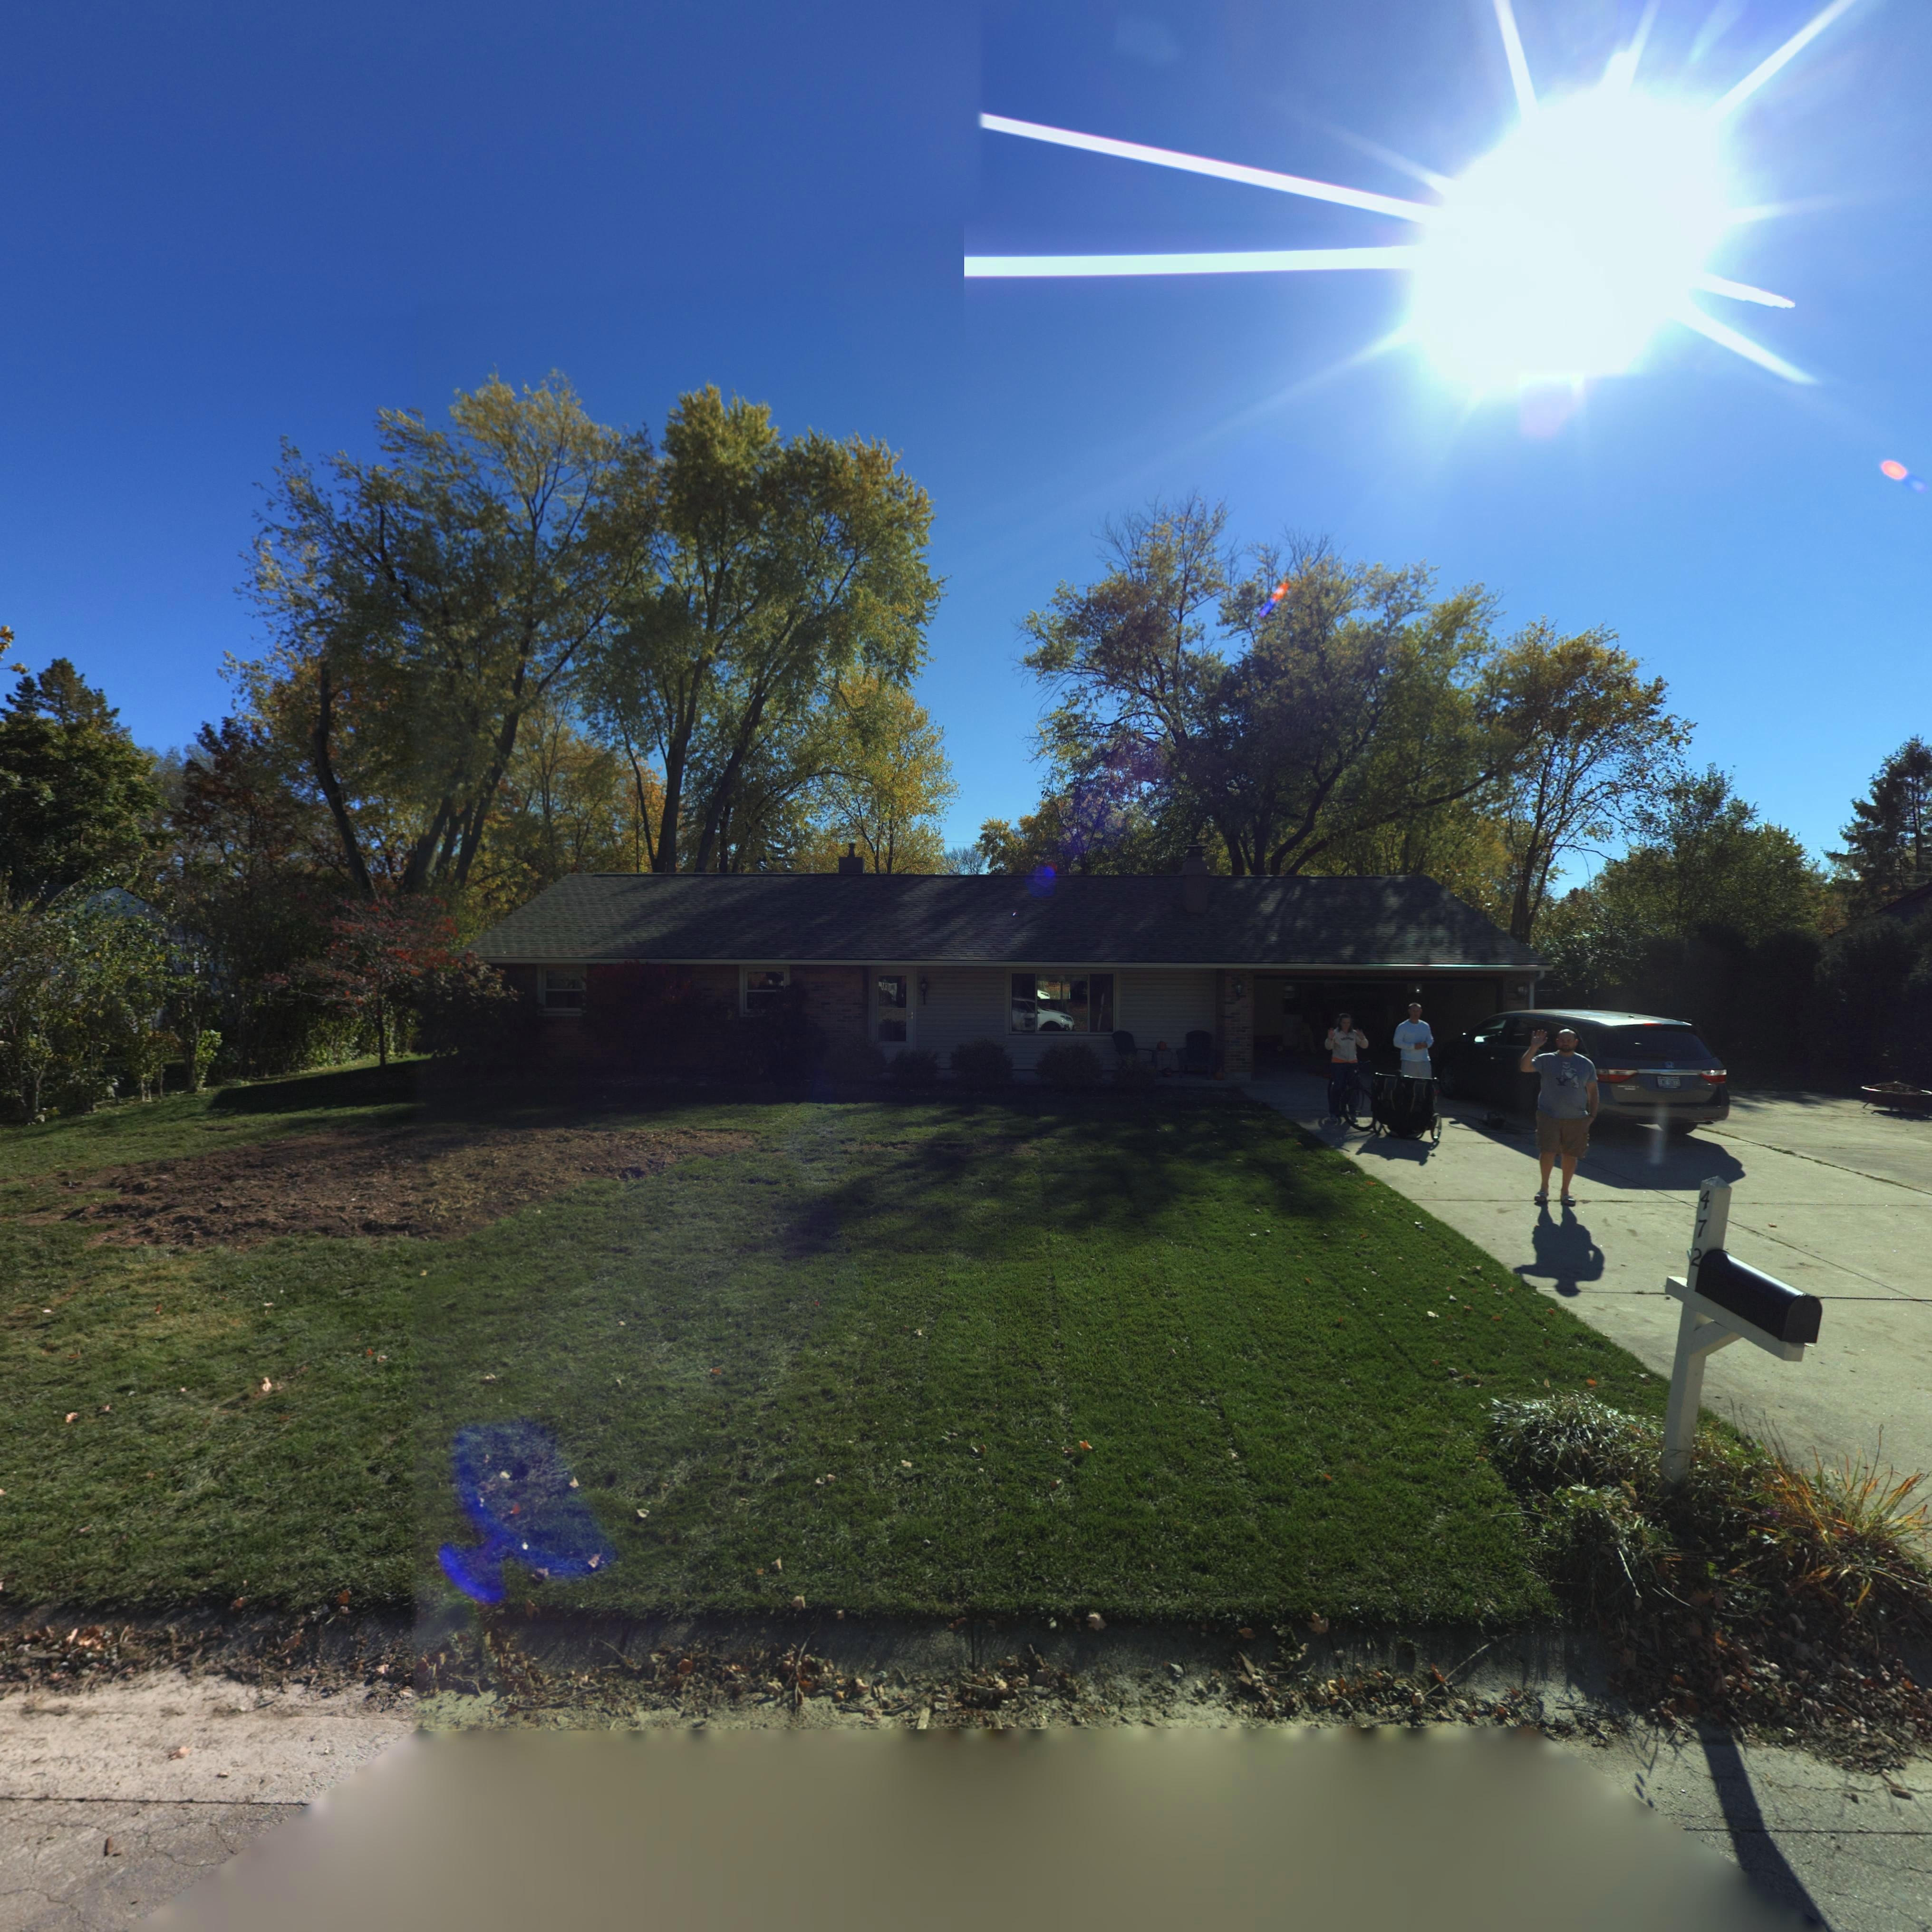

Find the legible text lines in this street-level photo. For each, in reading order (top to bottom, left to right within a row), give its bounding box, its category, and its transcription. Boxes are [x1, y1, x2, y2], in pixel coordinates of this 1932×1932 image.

[1688, 1188, 1713, 1270] StreetNumber: 472